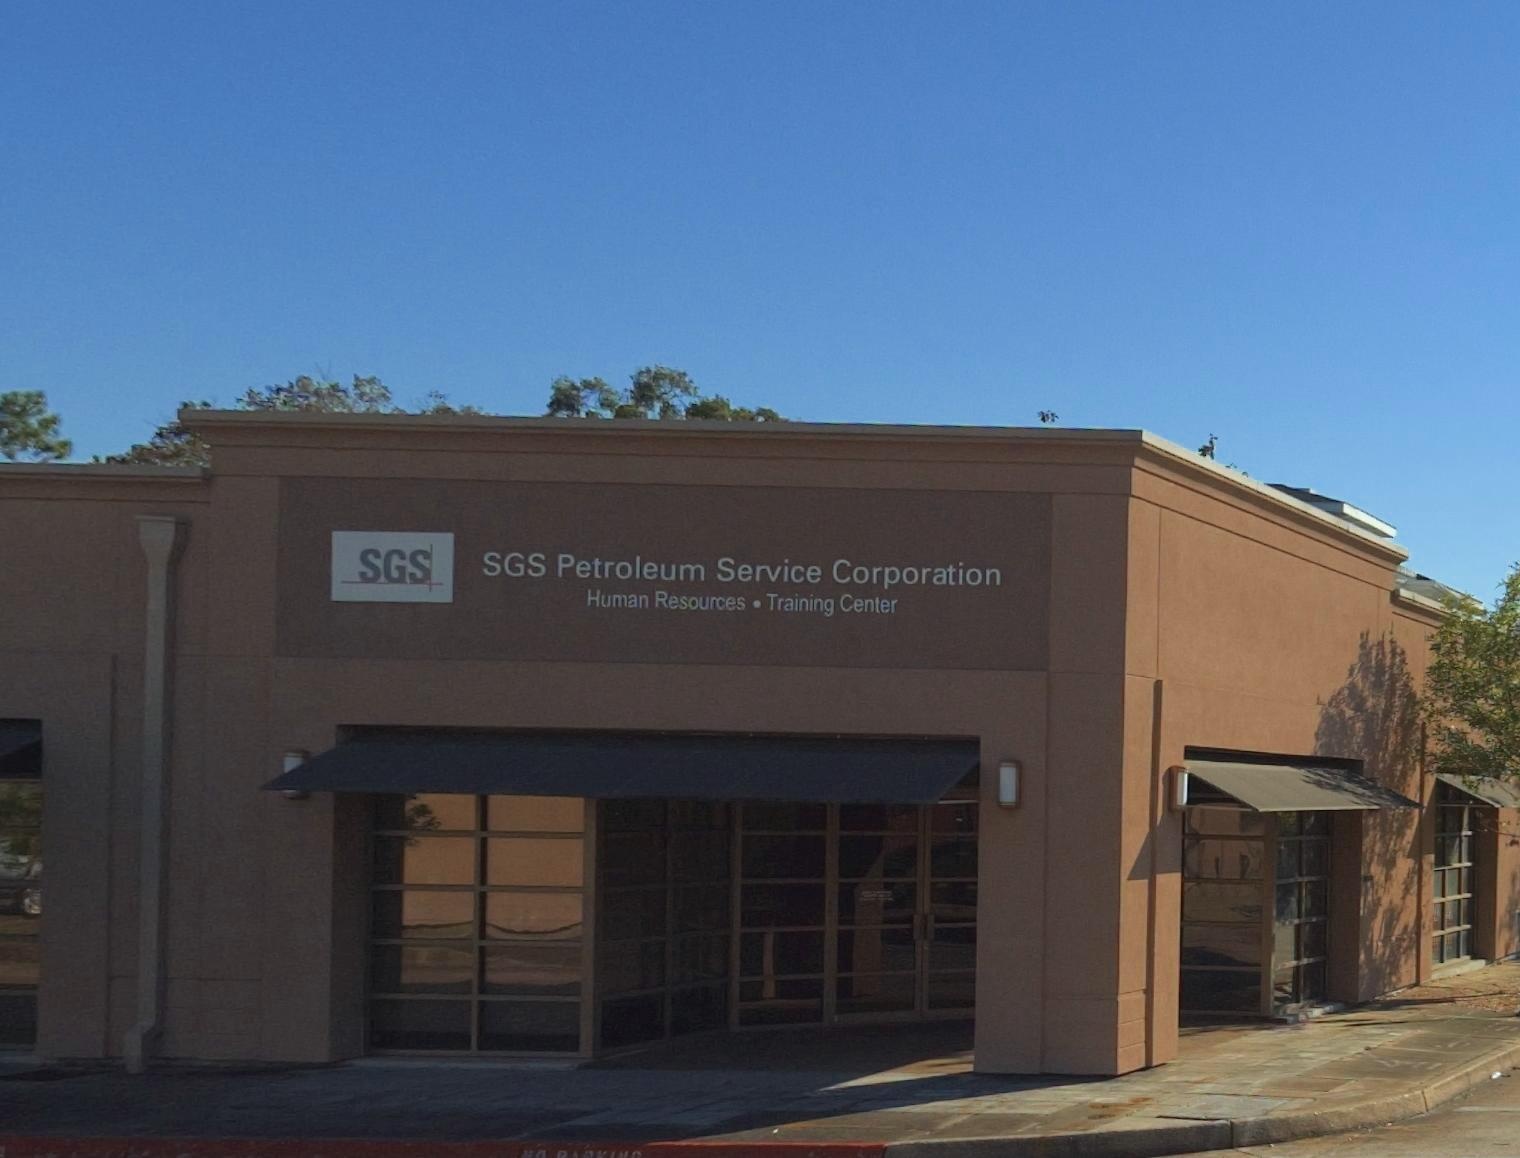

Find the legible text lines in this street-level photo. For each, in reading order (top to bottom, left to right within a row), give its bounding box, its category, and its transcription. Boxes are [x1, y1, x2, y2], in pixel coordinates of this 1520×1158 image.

[356, 545, 432, 587] BusinessName: SGS
[480, 549, 1003, 592] BusinessName: SGS Petroleum Service Corporation
[584, 586, 901, 621] None: Human Resources*Training Center